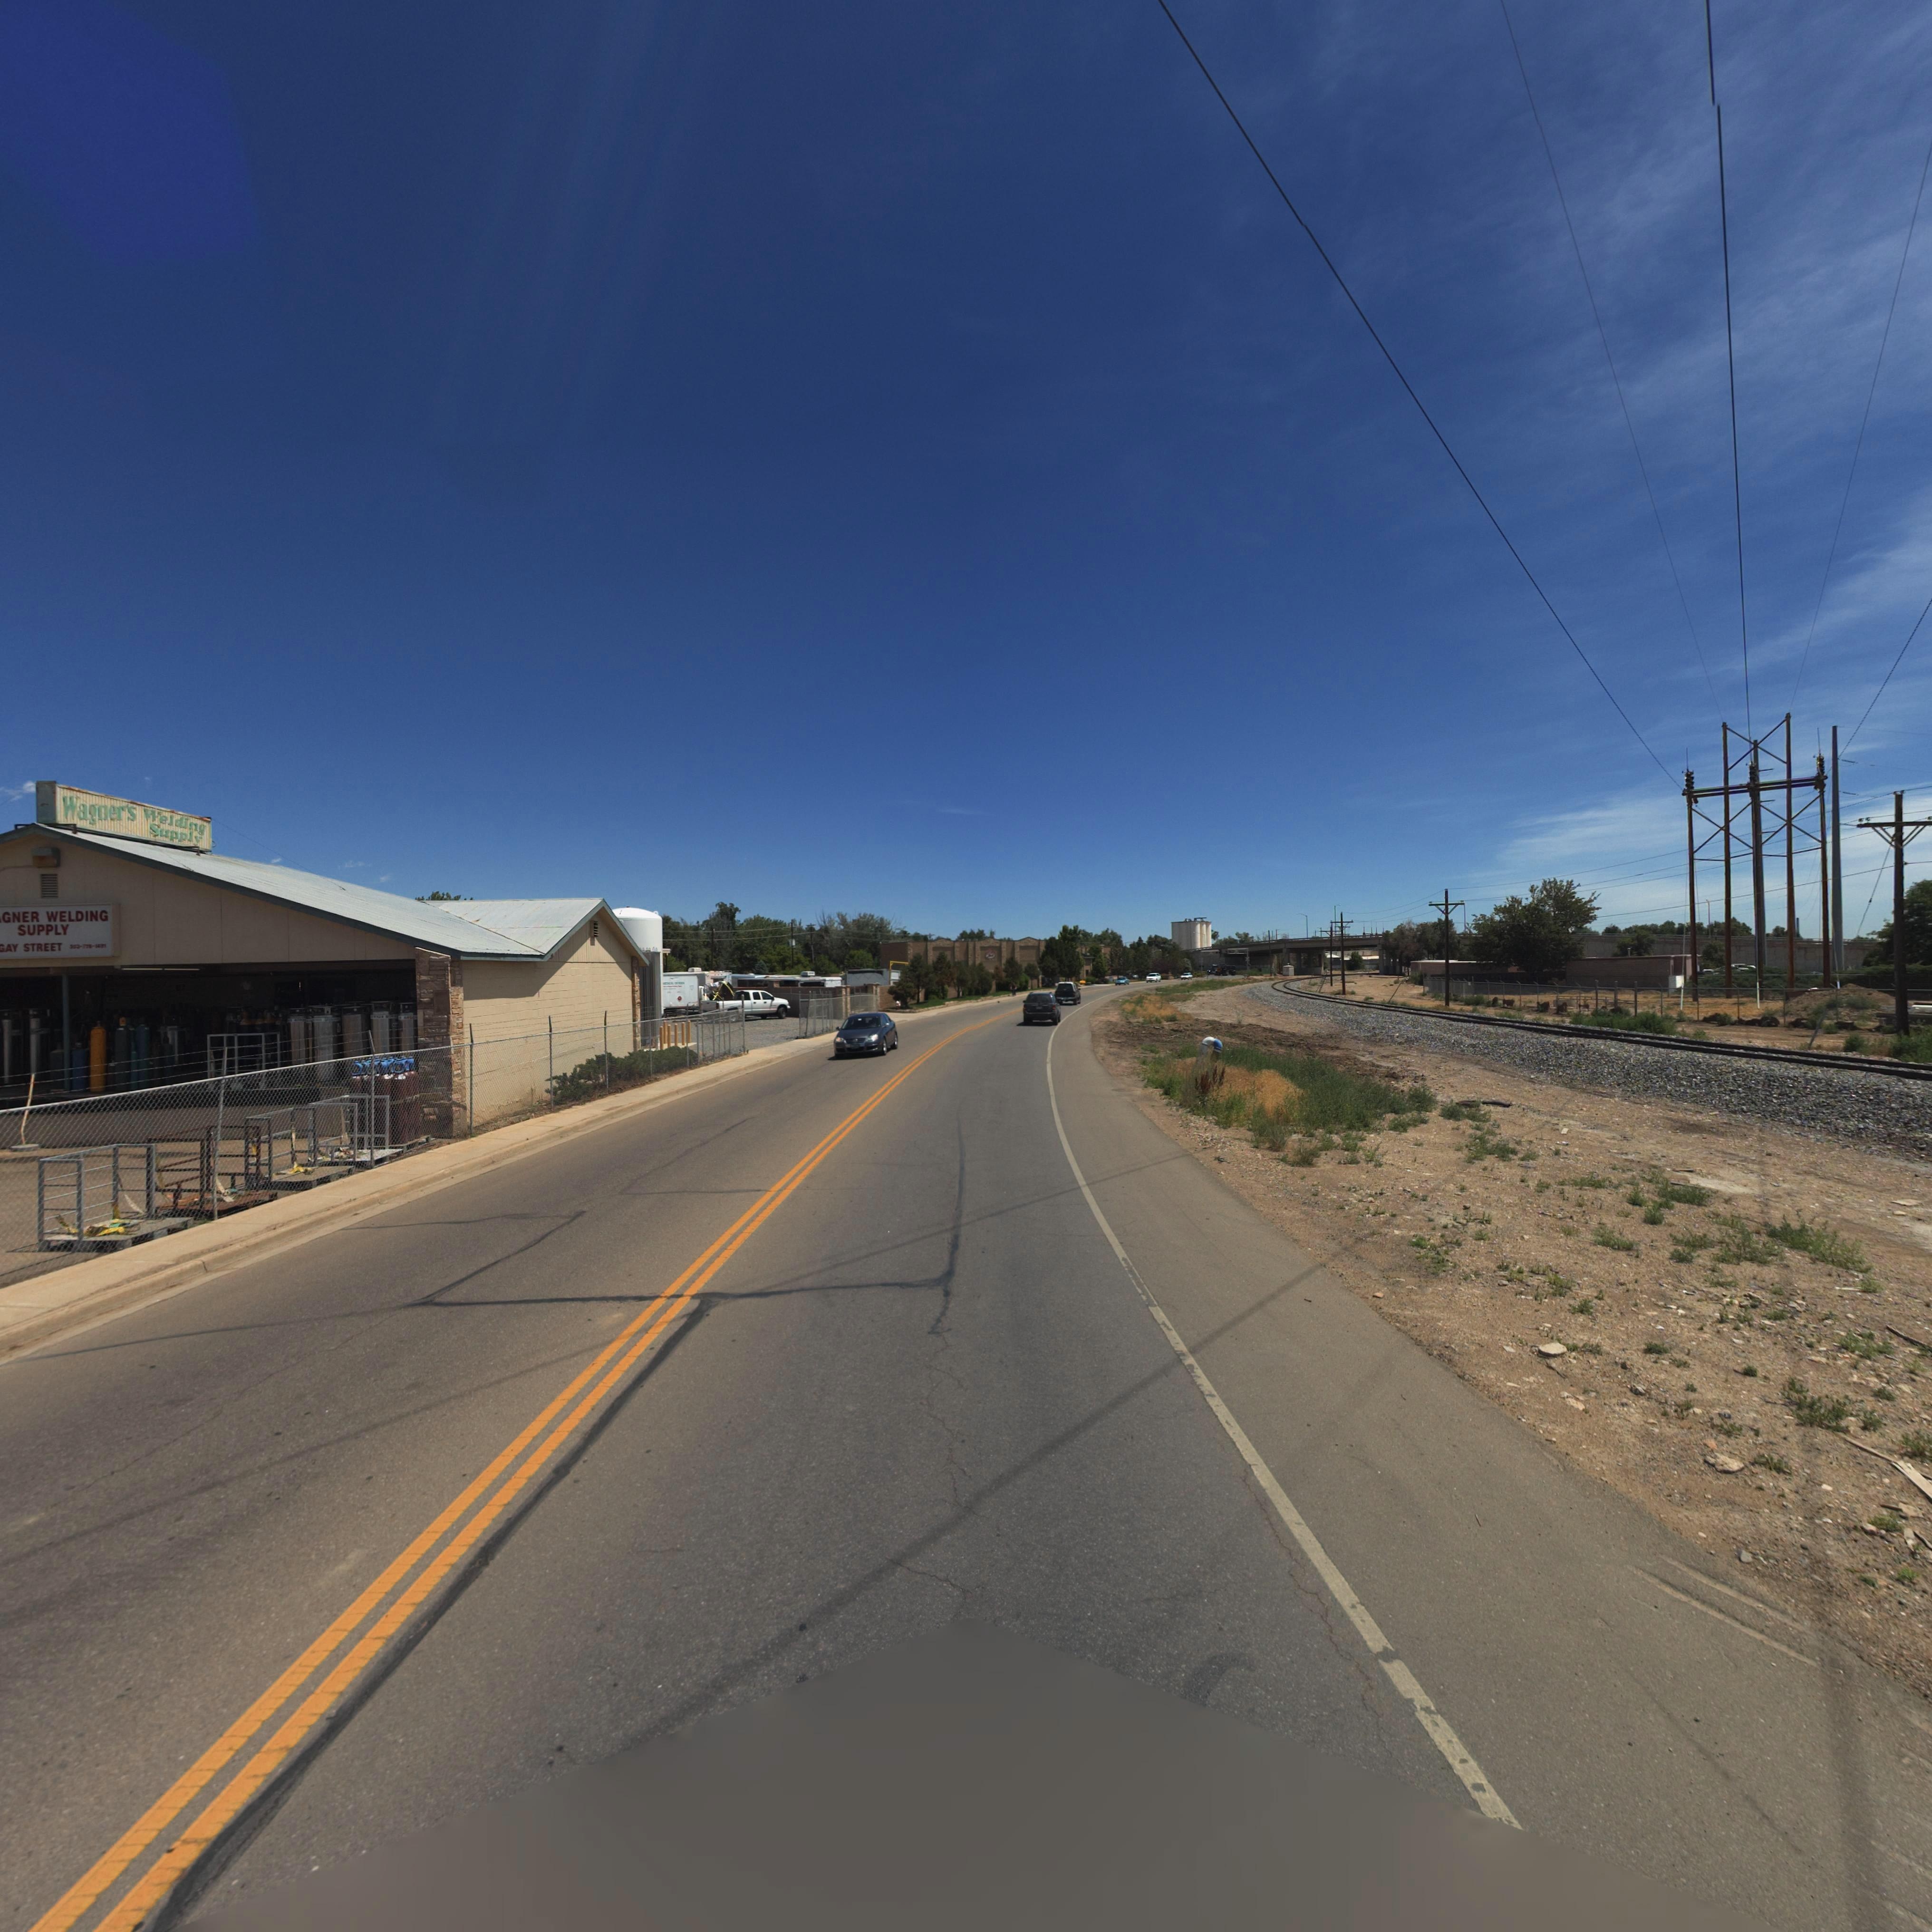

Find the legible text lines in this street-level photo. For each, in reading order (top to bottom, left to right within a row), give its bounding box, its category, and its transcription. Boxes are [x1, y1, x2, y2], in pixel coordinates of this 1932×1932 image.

[61, 795, 136, 824] BusinessName: Wagner's
[143, 807, 204, 835] BusinessName: Welding
[148, 822, 203, 846] BusinessName: Supply
[1, 909, 108, 923] BusinessName: **GNER WELDING
[18, 924, 69, 936] BusinessName: SUPPLY
[0, 942, 63, 952] StreetName: GAY STREET